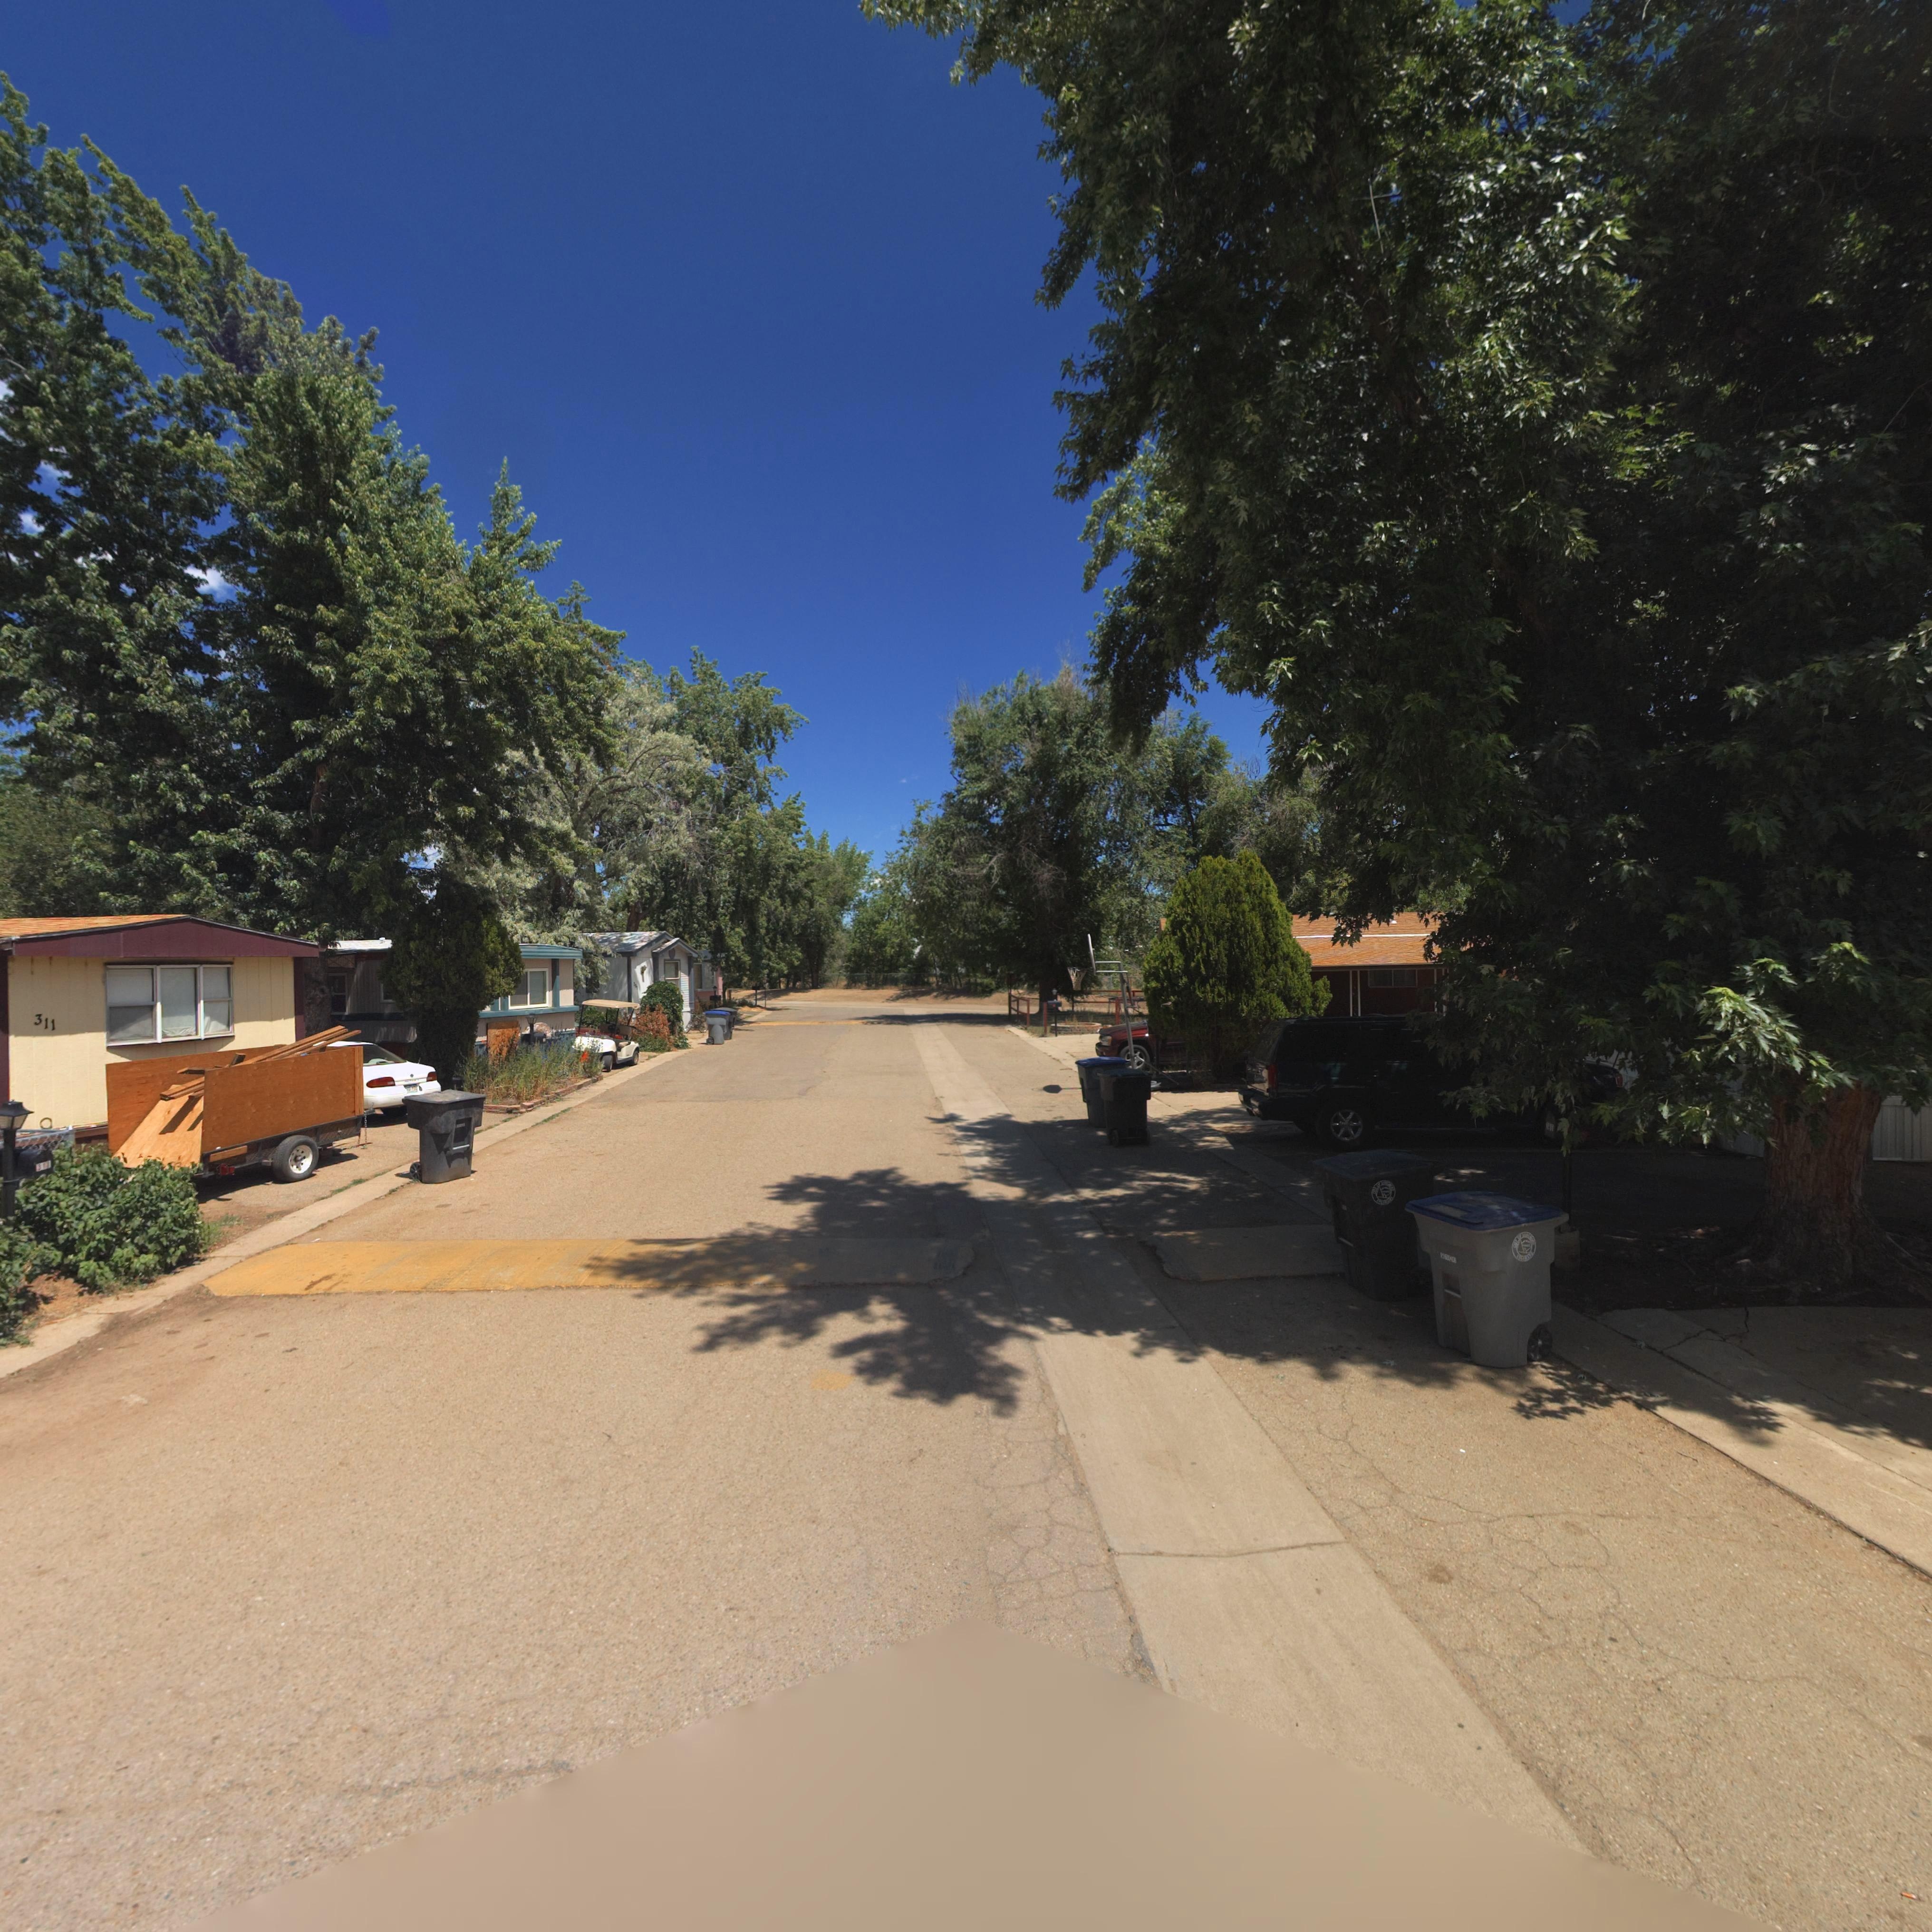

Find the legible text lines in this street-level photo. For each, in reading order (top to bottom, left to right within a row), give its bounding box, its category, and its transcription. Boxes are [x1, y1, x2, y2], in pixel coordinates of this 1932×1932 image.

[34, 1013, 56, 1031] StreetNumber: 311
[37, 1161, 50, 1170] StreetNumber: 3**